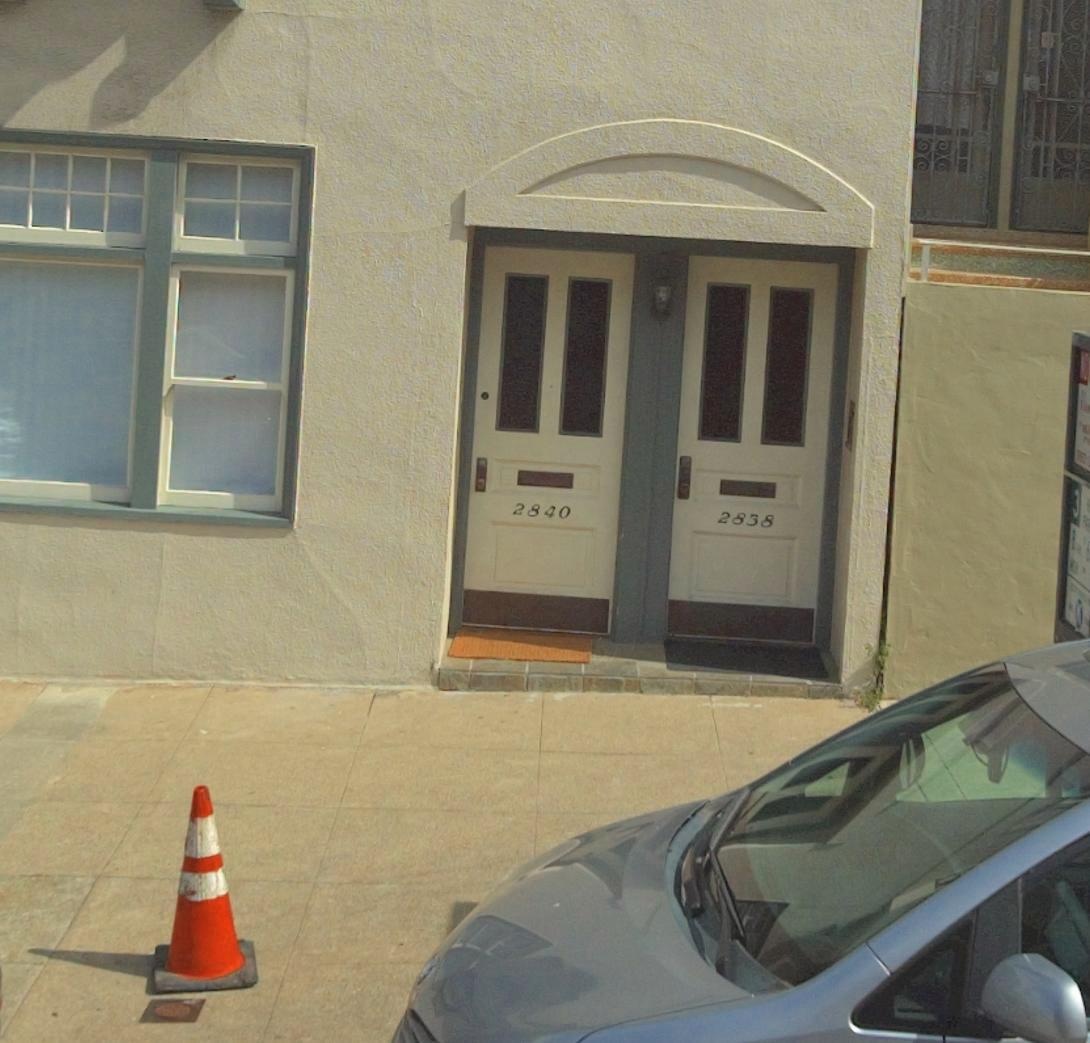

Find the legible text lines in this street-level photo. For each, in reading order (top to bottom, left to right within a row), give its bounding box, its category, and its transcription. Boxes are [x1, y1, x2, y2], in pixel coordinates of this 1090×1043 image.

[509, 500, 575, 522] StreetNumber: 2840
[713, 508, 778, 531] StreetNumber: 2838
[1069, 485, 1082, 522] None: 3